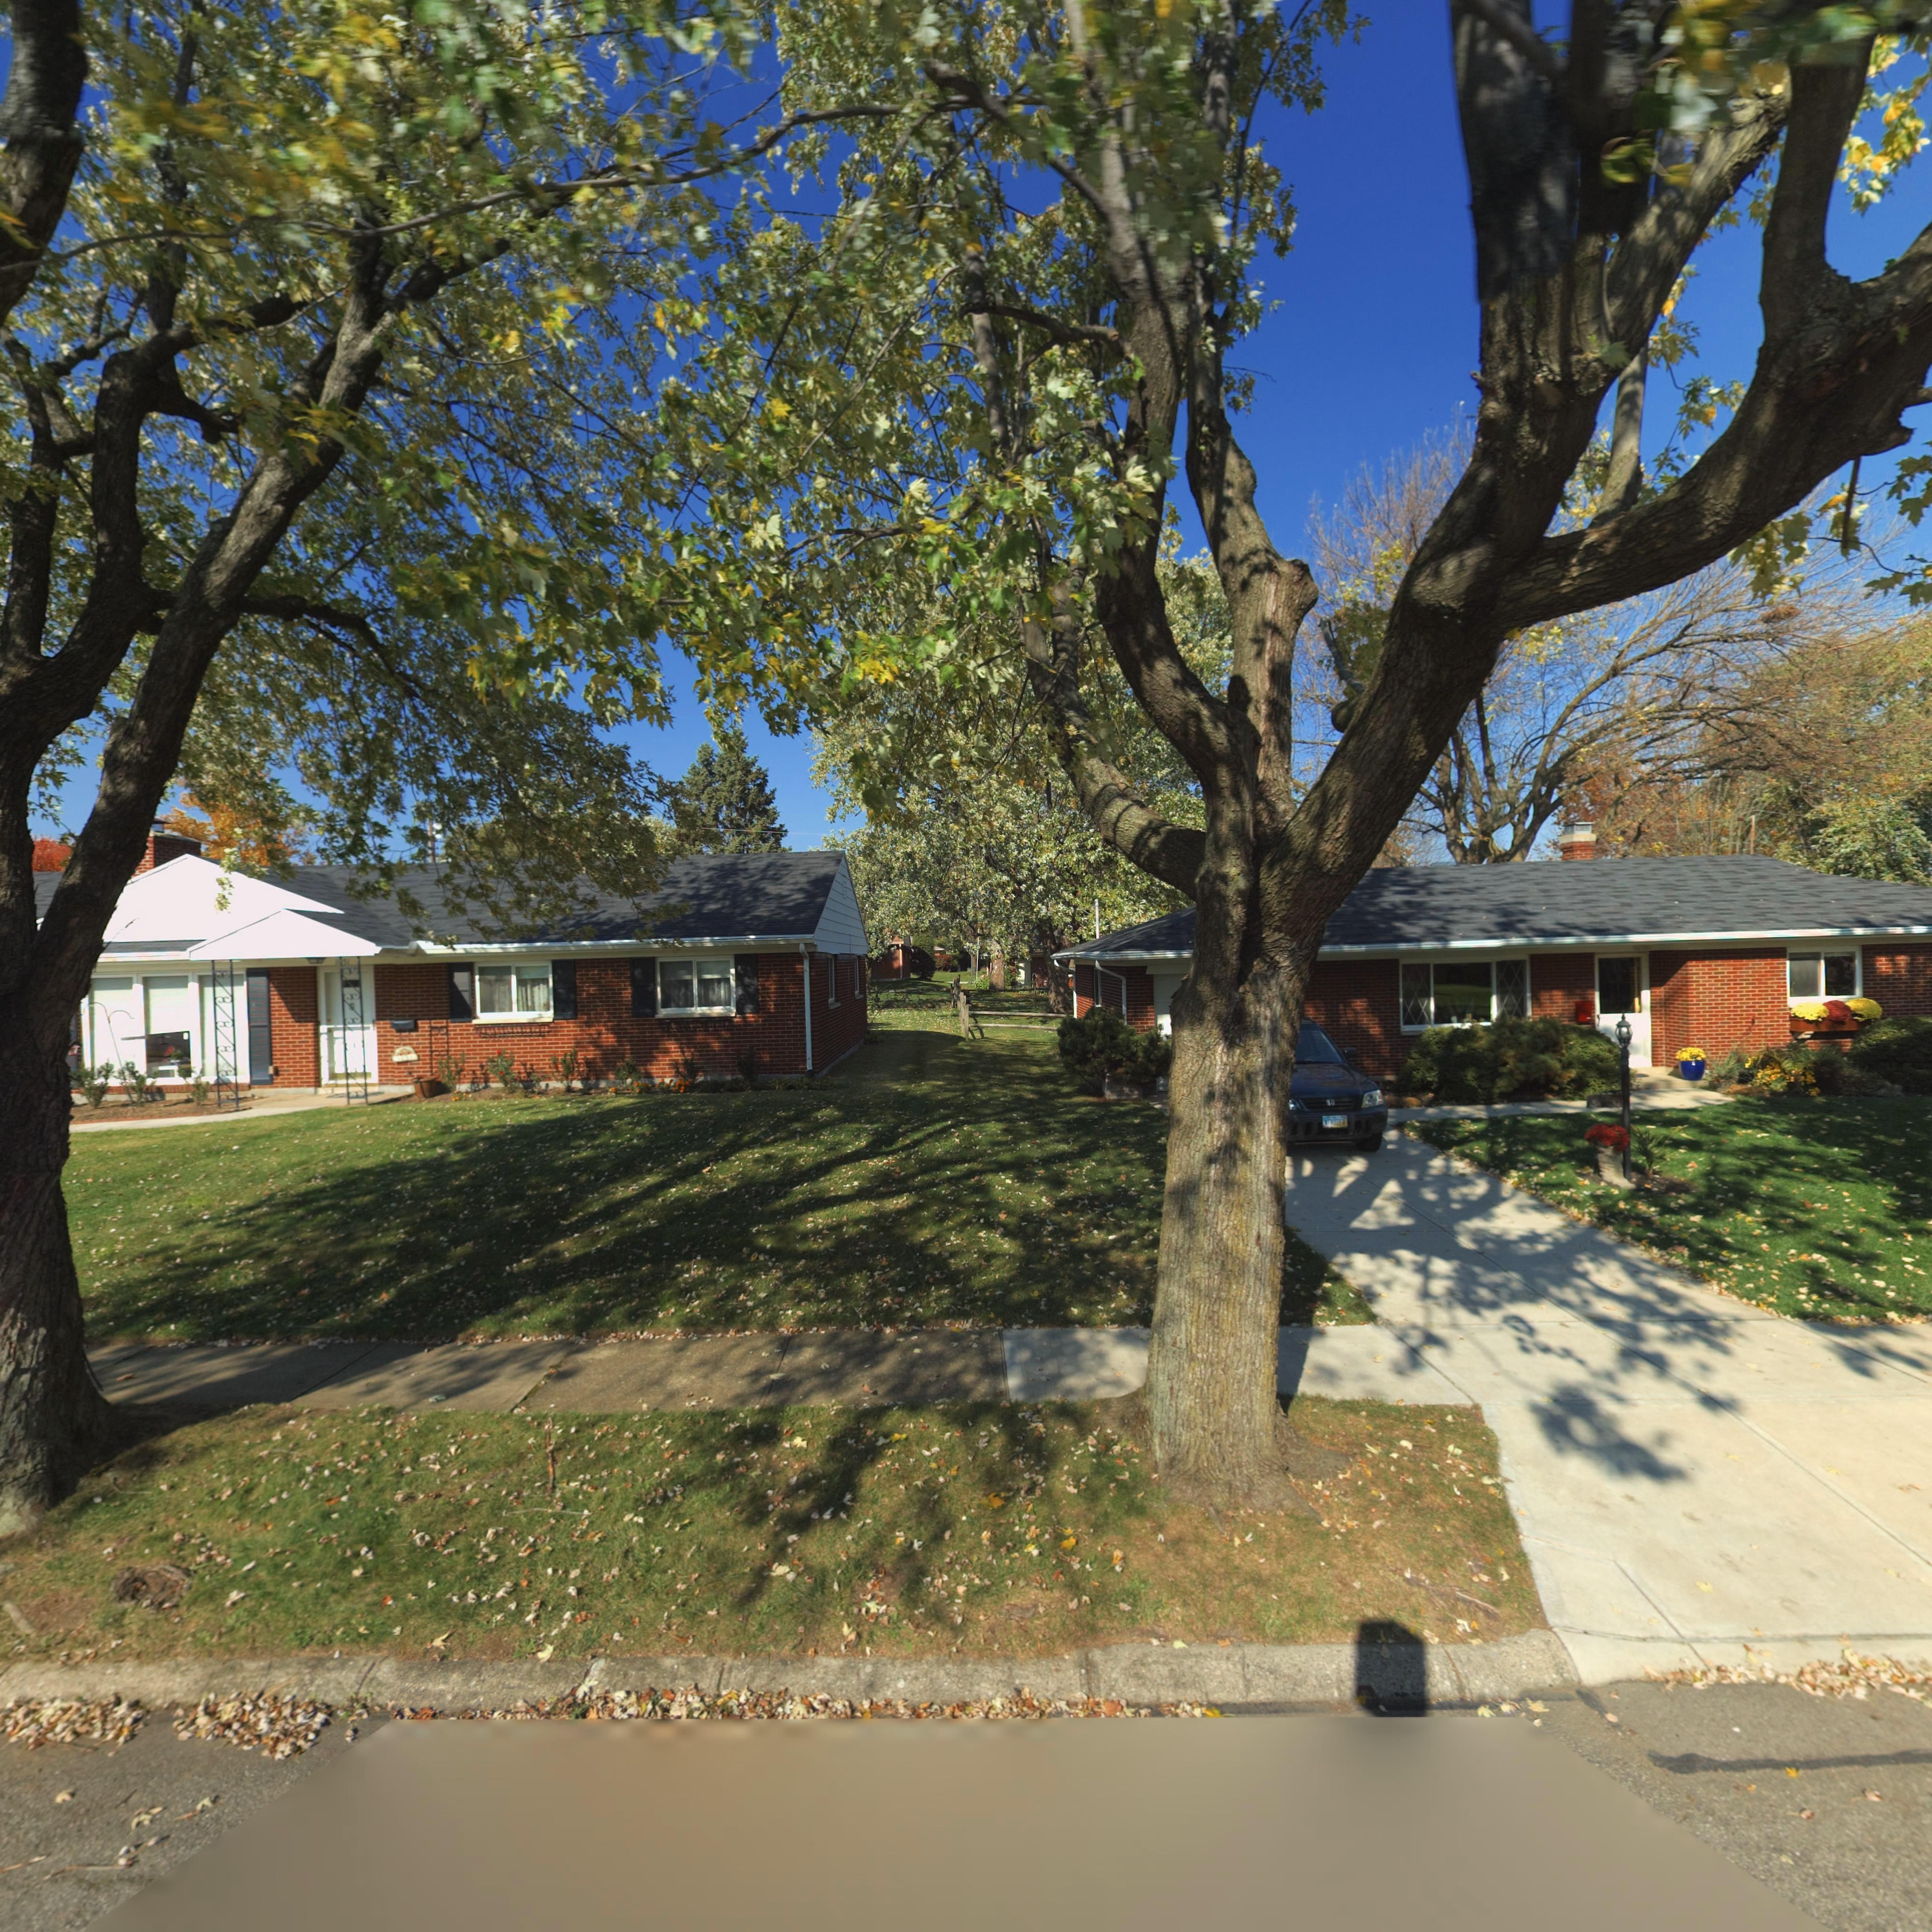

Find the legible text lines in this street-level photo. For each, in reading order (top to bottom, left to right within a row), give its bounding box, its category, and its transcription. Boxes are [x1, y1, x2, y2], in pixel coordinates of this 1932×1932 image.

[334, 957, 349, 965] StreetNumber: 1*51